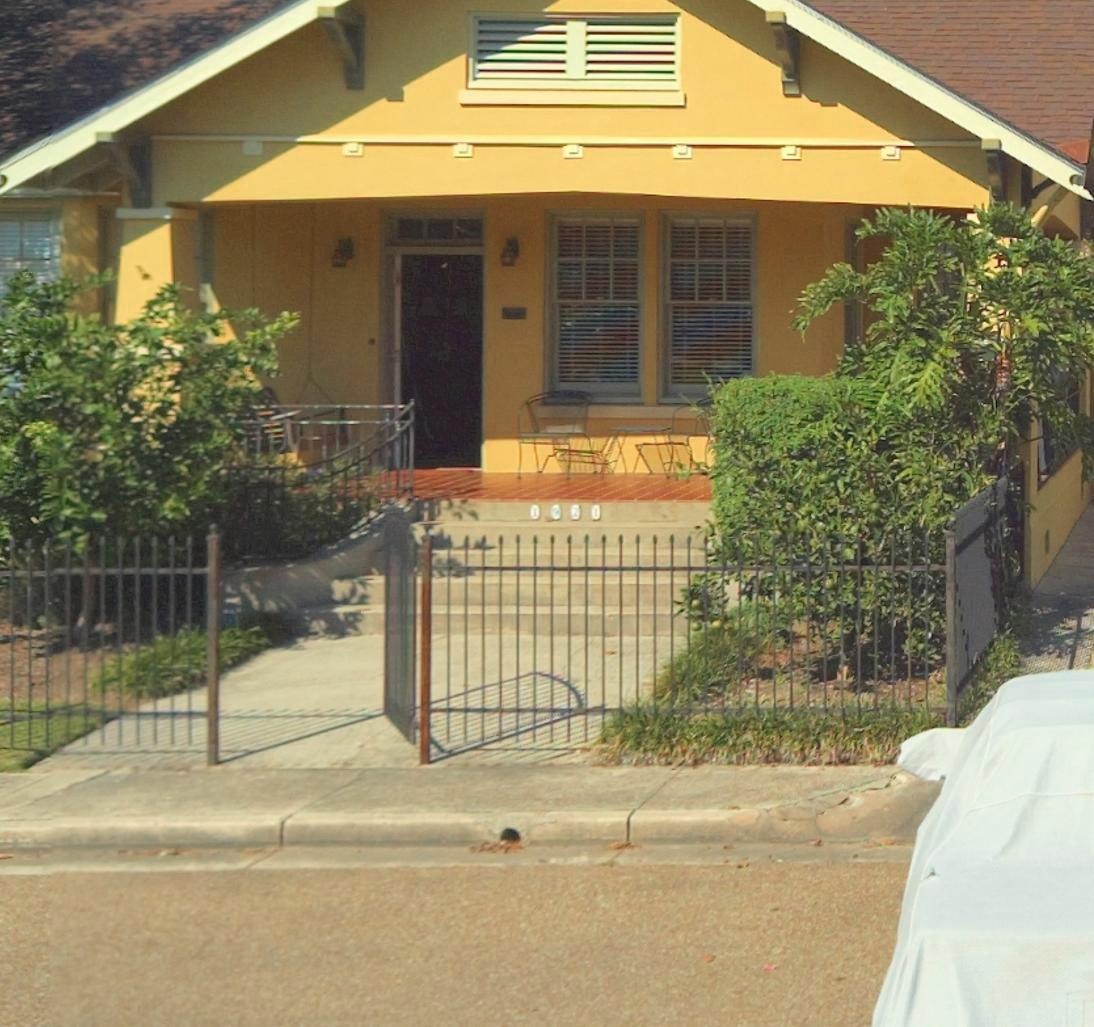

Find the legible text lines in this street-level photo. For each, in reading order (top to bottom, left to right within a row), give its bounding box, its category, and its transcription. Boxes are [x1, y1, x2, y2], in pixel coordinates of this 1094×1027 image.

[531, 506, 600, 519] StreetNumber: 1921